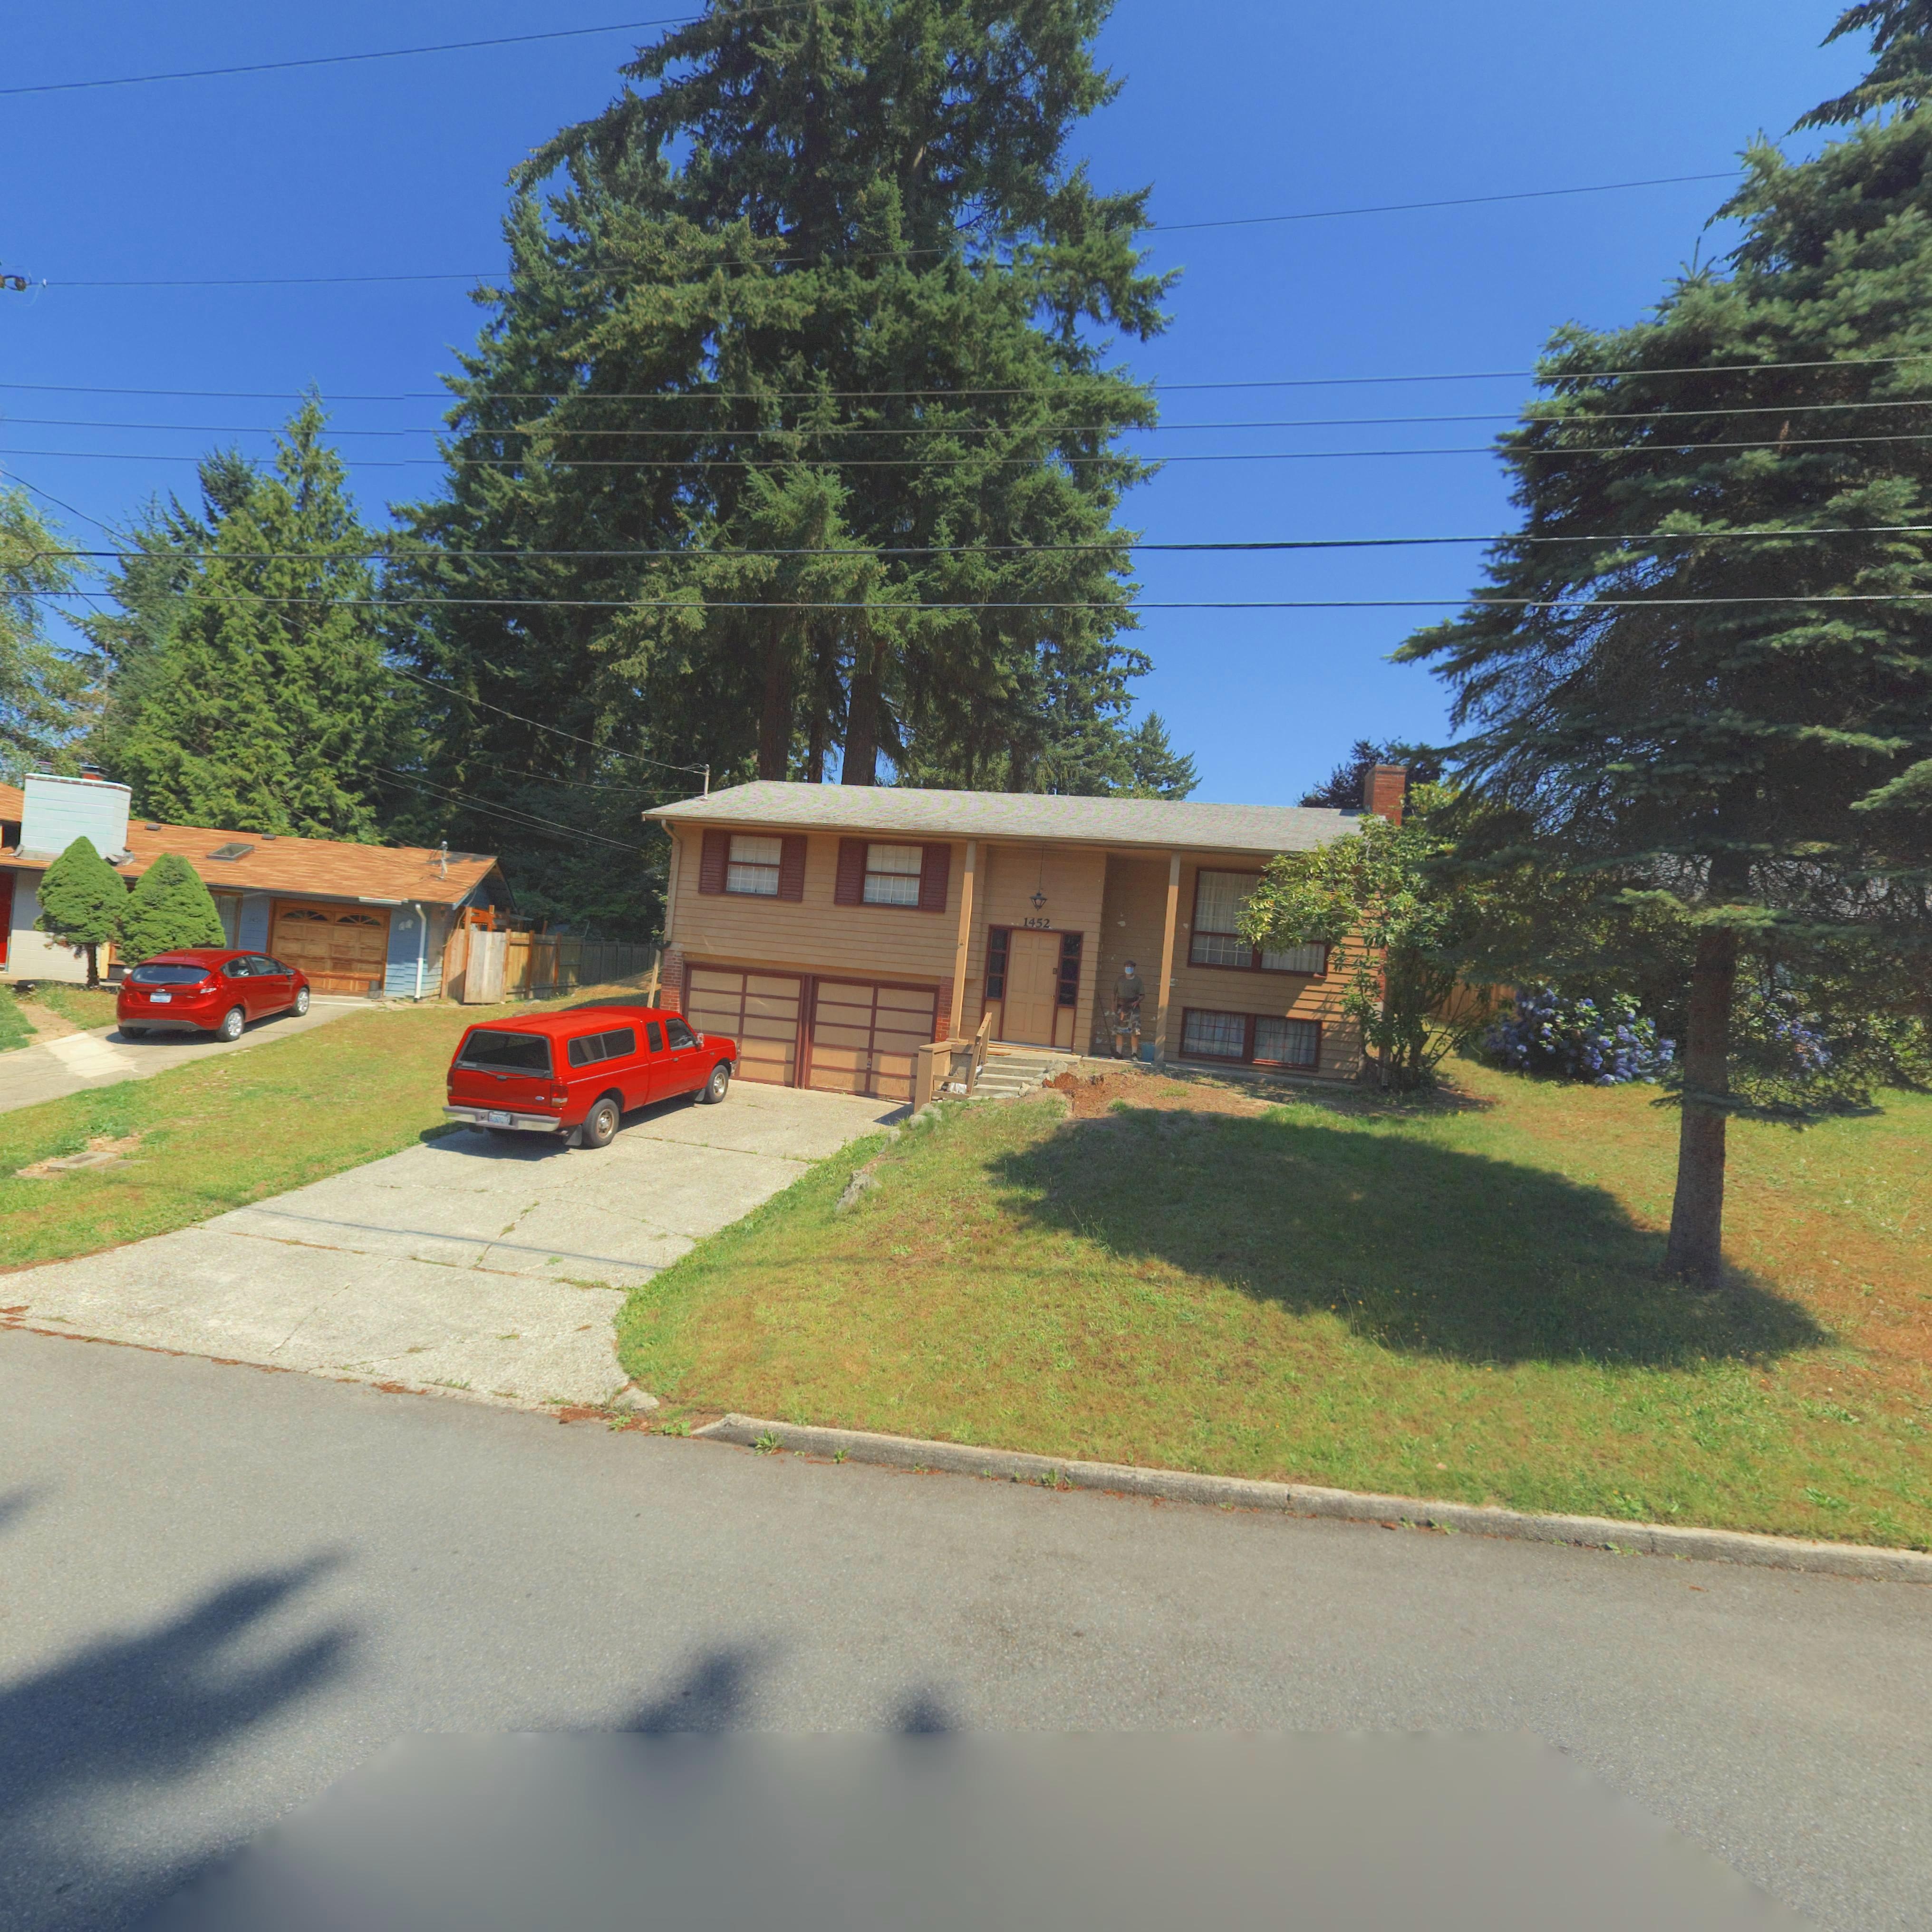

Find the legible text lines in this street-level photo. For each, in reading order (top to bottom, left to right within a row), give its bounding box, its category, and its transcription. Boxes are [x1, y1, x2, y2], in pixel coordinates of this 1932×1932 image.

[1023, 917, 1050, 928] StreetNumber: 1452